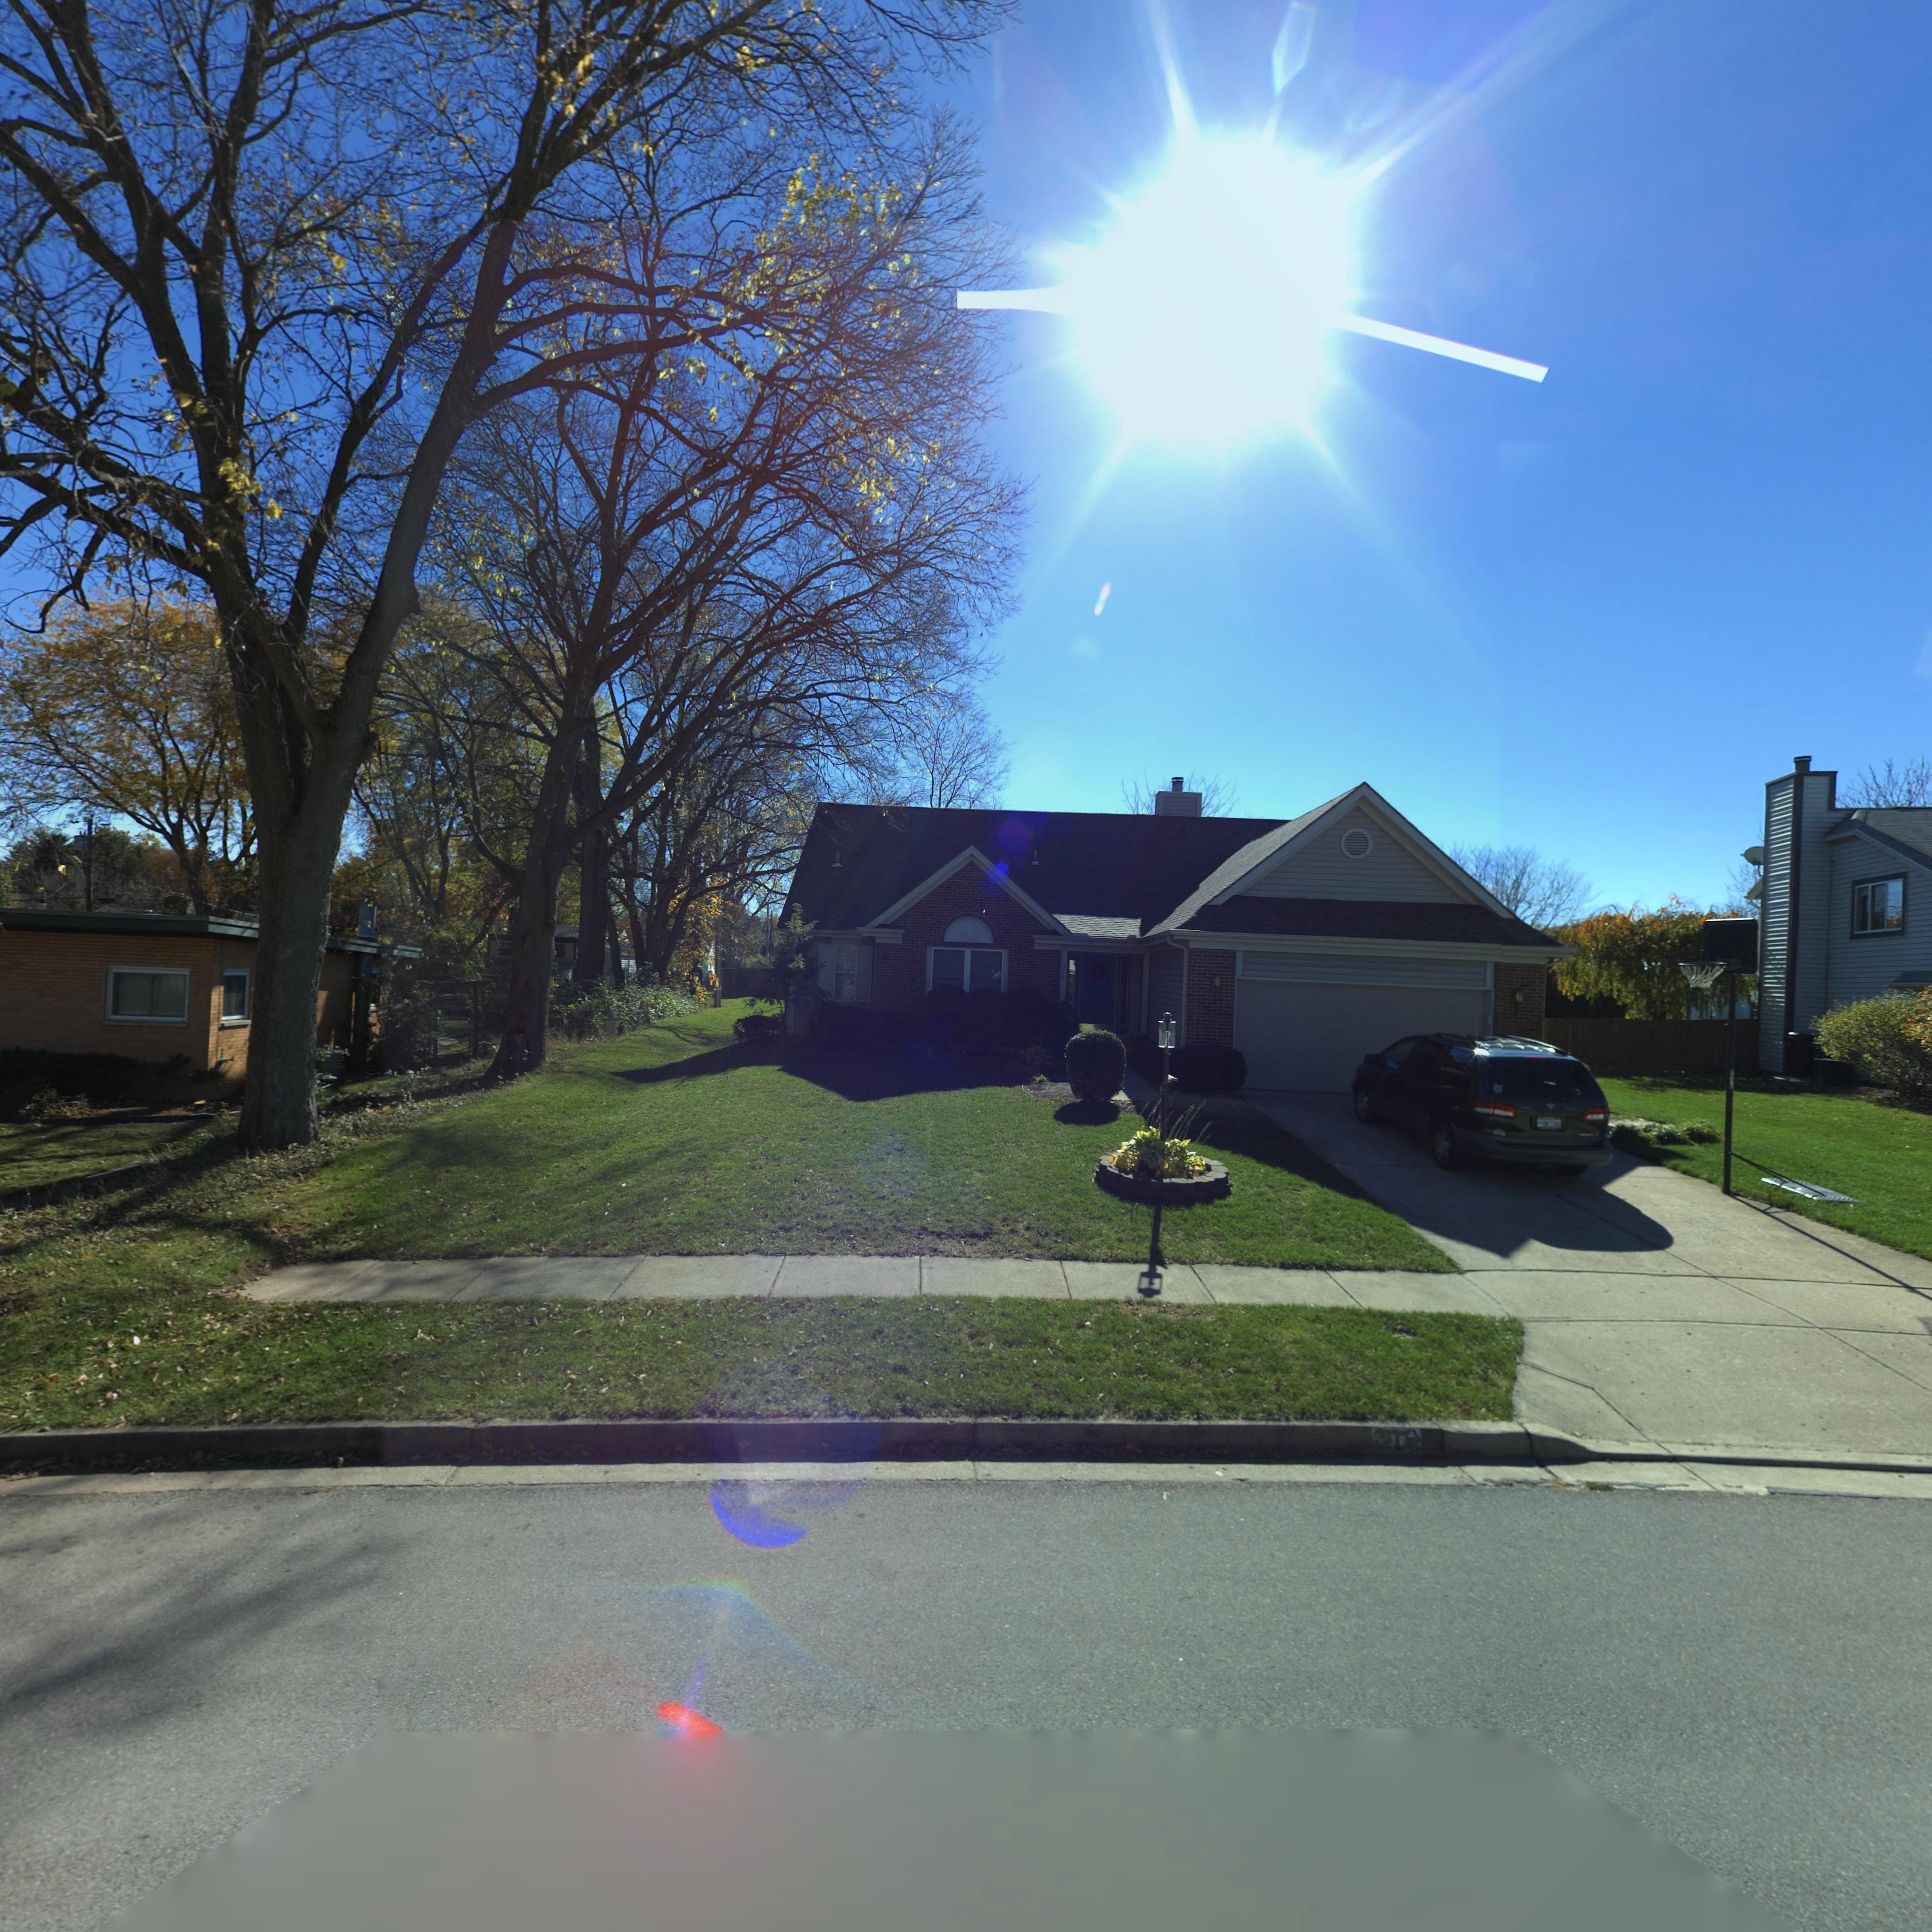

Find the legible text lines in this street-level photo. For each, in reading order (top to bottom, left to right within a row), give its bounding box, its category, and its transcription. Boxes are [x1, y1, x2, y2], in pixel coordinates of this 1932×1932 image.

[1061, 963, 1066, 981] StreetNumber: 316